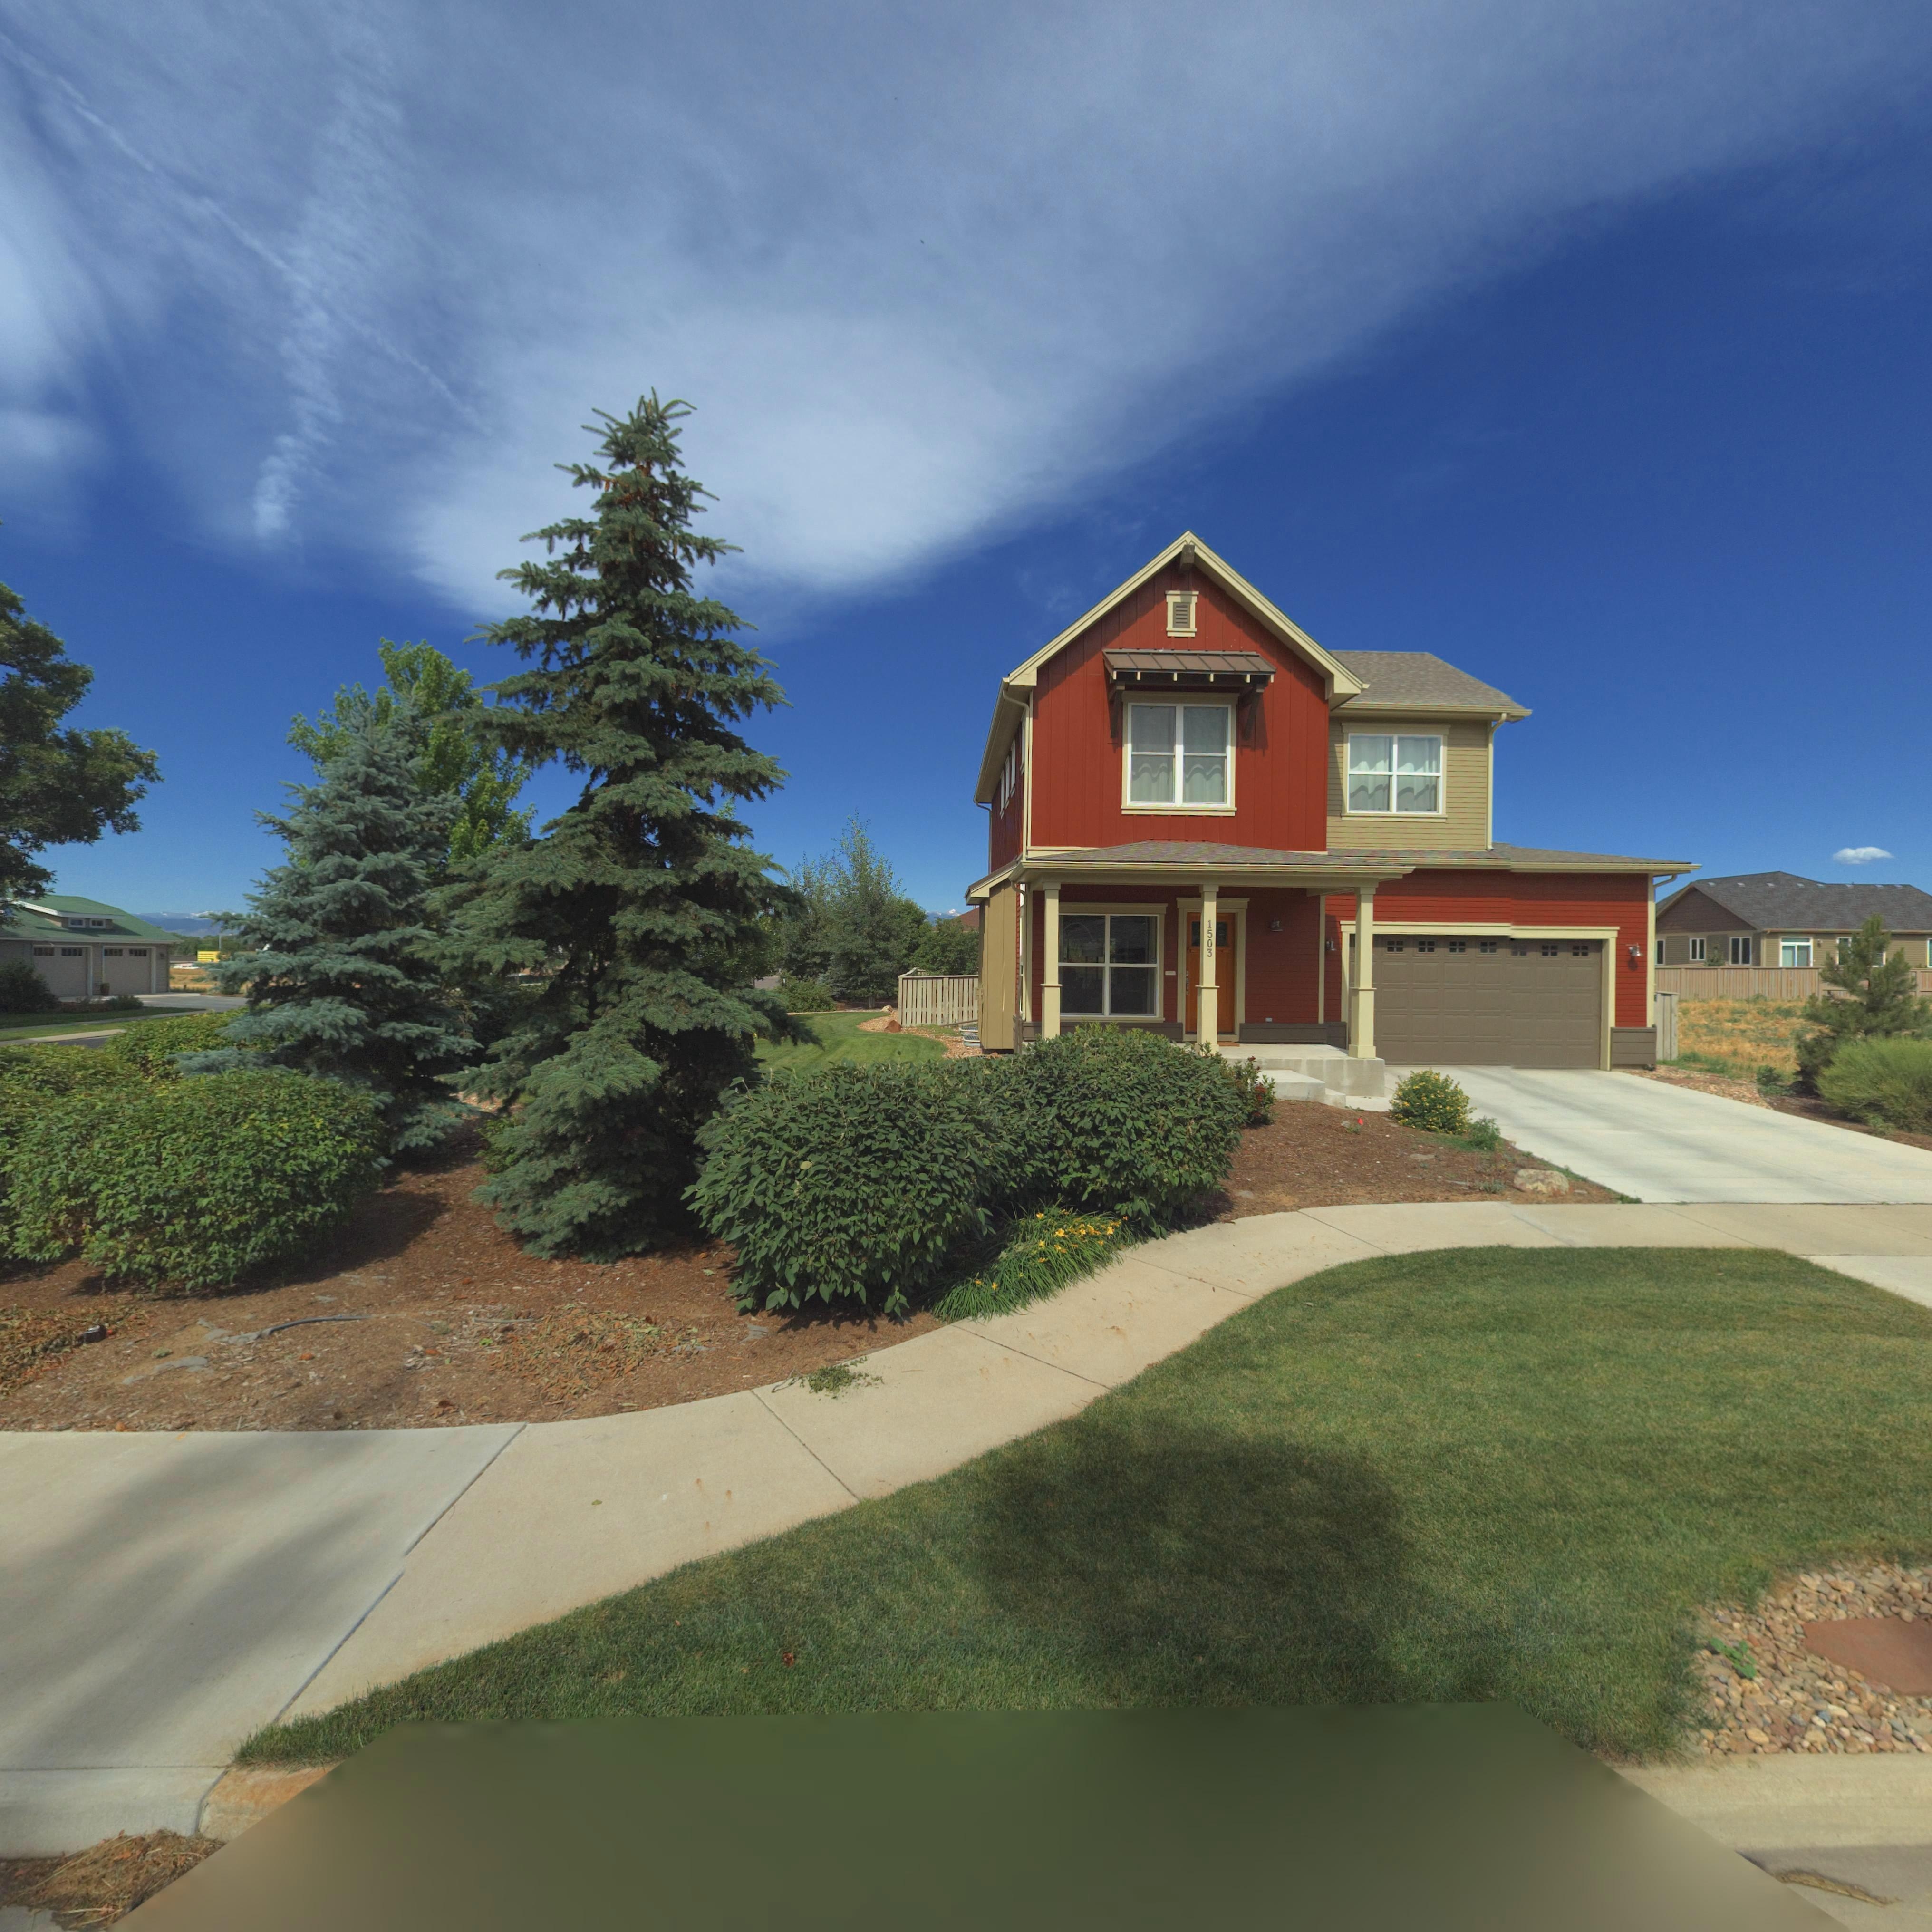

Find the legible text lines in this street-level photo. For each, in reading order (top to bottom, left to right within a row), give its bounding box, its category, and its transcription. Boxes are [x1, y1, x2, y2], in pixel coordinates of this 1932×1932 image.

[1207, 918, 1213, 957] StreetNumber: 1503